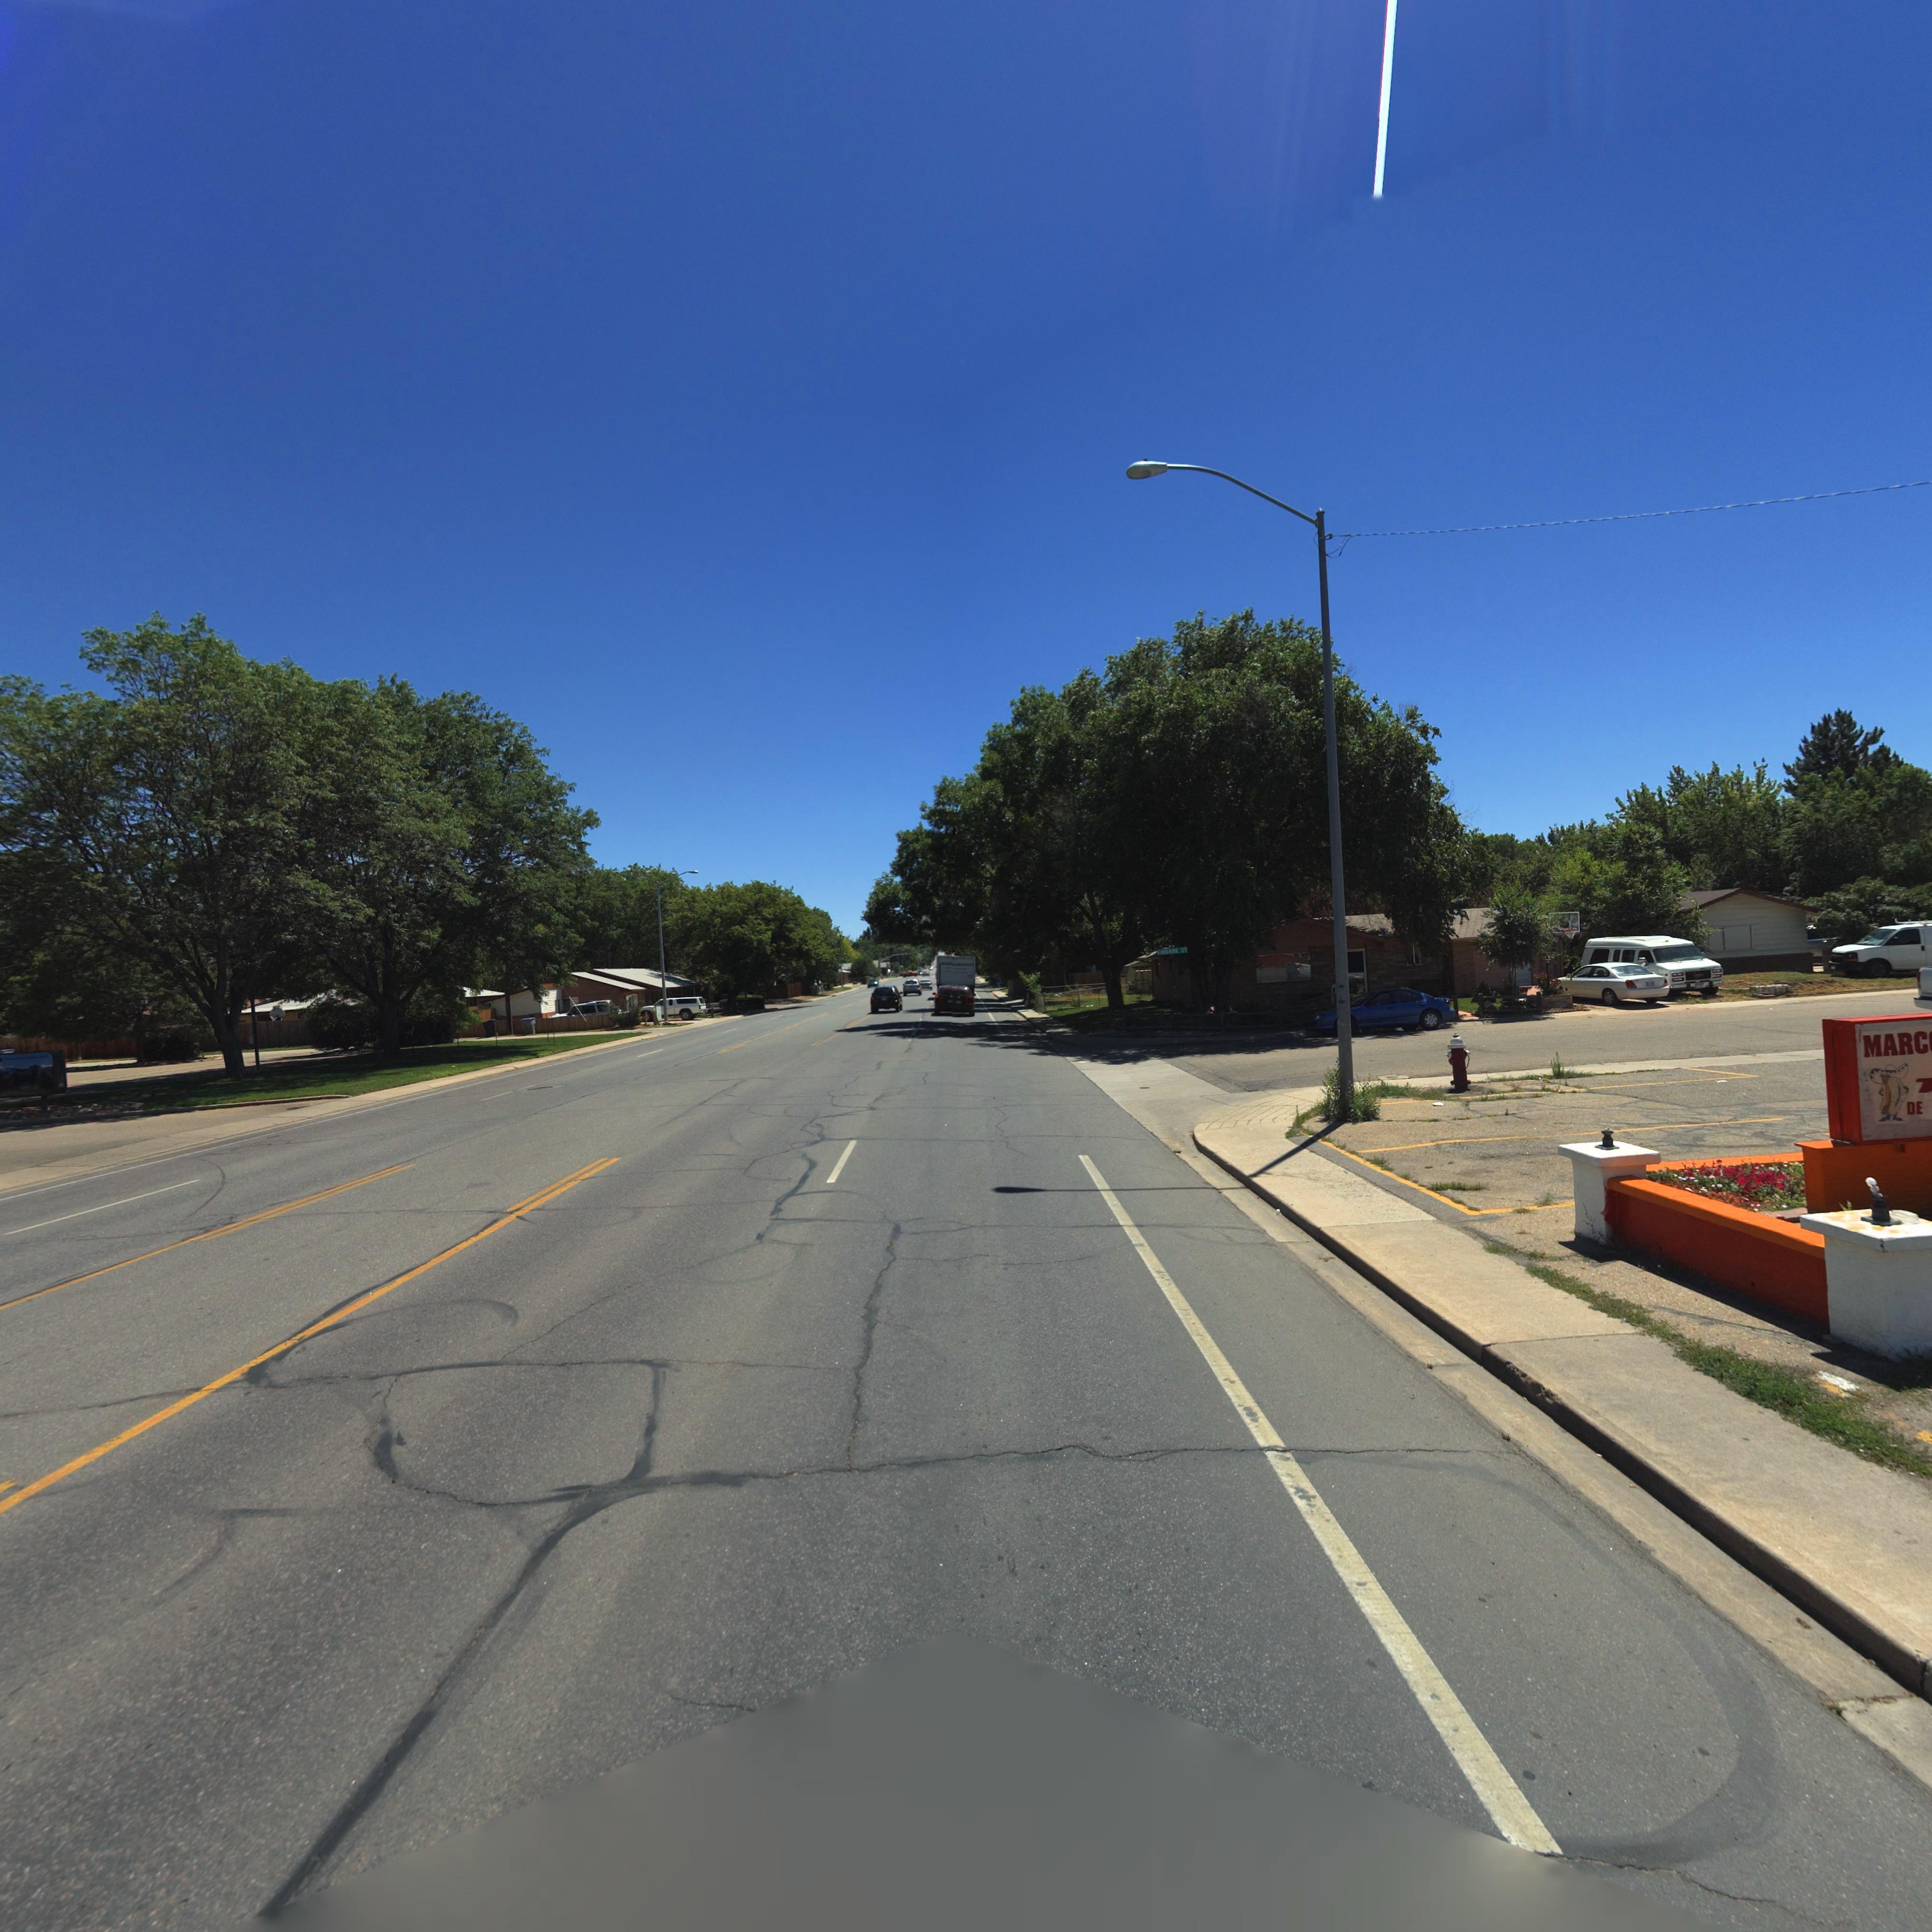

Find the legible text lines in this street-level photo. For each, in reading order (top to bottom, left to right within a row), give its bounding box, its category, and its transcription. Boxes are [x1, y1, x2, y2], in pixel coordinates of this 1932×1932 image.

[1157, 947, 1187, 955] StreetName: KIMBARK ST
[1862, 1030, 1929, 1058] BusinessName: MARC
[1905, 1101, 1924, 1115] BusinessName: DE